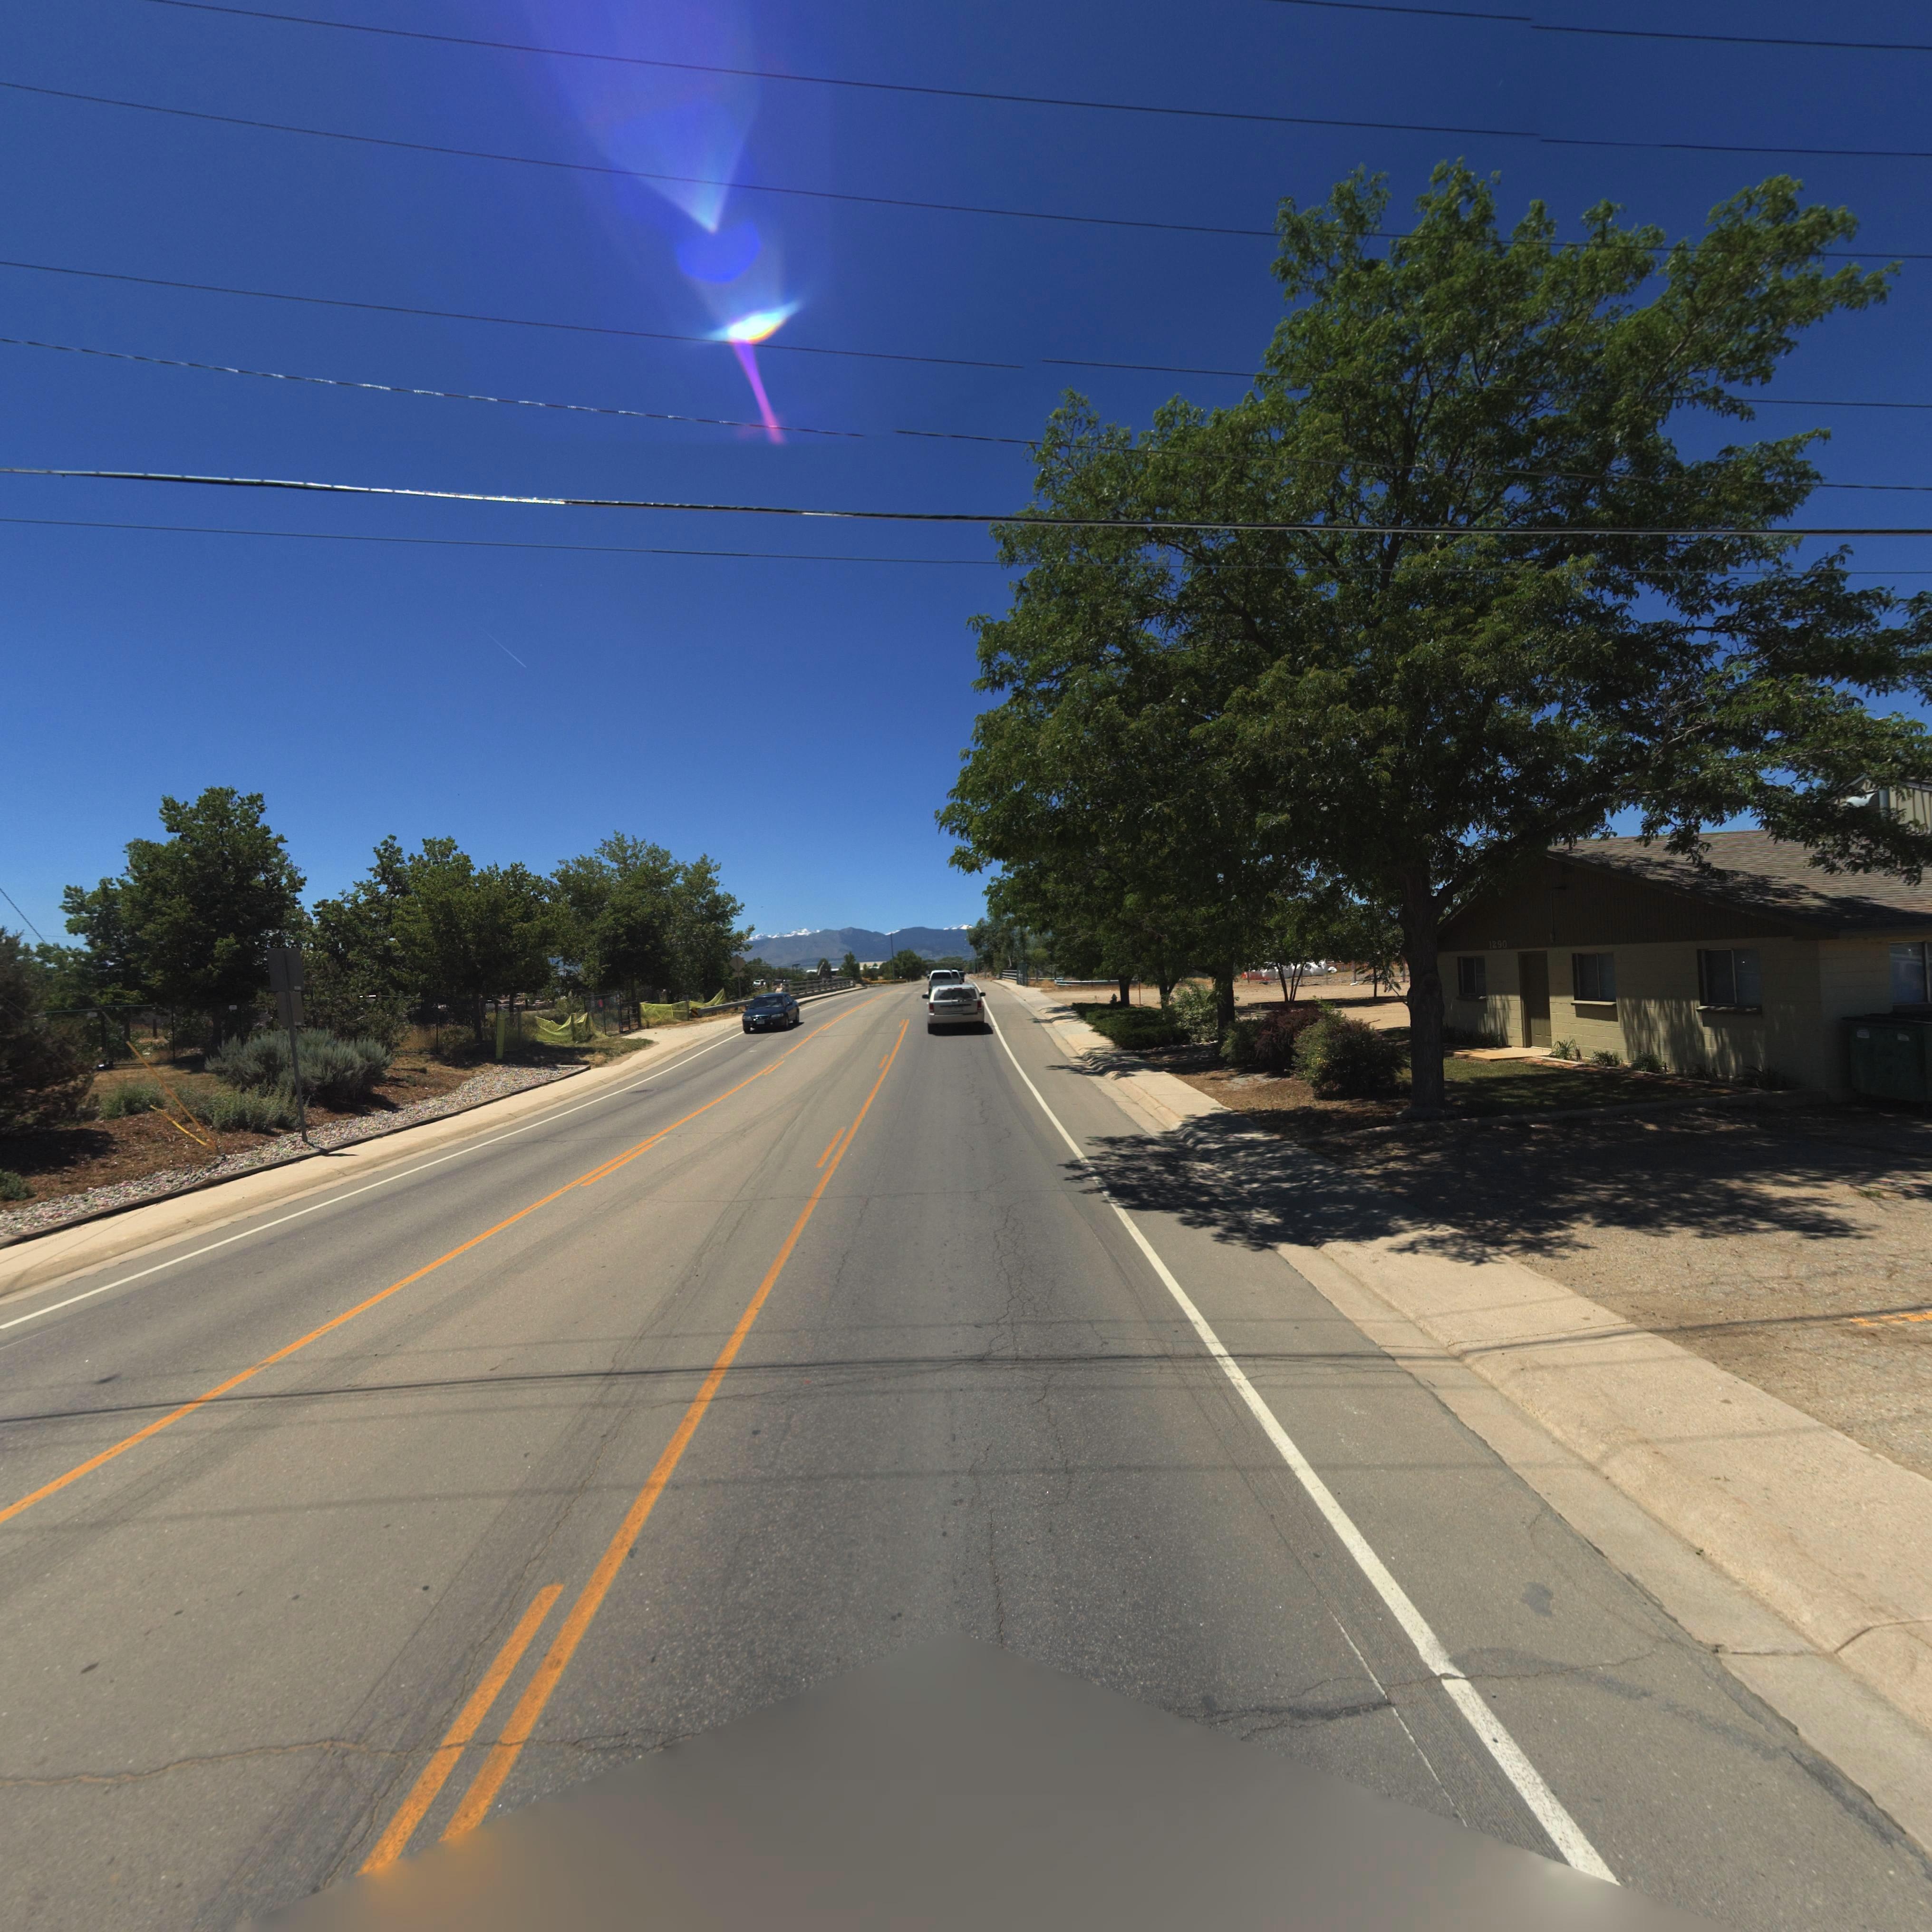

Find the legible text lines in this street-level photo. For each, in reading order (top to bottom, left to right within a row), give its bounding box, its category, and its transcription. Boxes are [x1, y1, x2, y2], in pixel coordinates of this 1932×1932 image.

[1489, 940, 1507, 949] StreetNumber: 1290